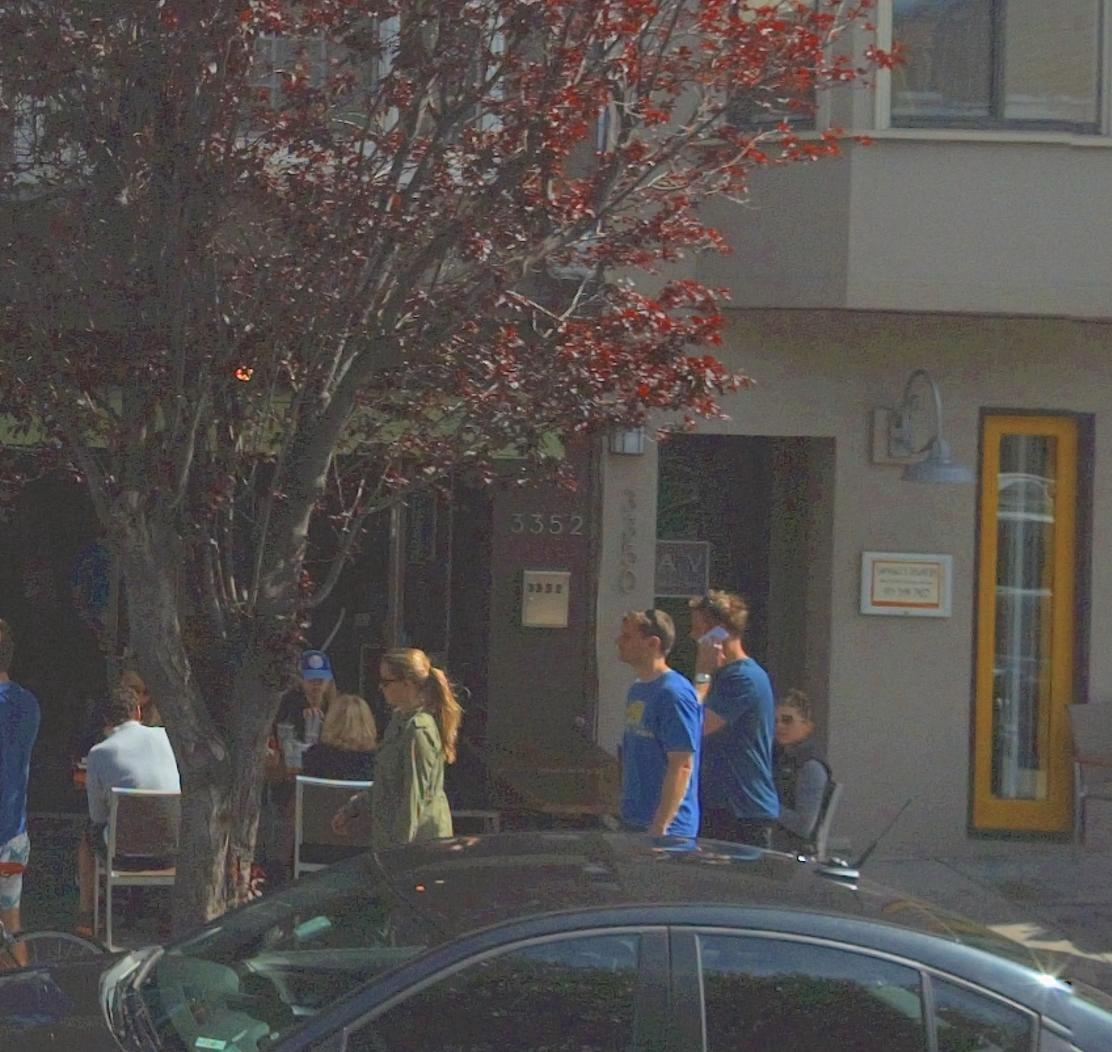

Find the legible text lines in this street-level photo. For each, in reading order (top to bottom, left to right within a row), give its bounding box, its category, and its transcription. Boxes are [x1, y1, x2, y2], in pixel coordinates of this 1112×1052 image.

[508, 511, 585, 538] StreetNumber: 3352
[618, 486, 640, 596] StreetNumber: 3350
[654, 550, 679, 577] BusinessName: A
[525, 579, 566, 597] StreetNumber: 3352